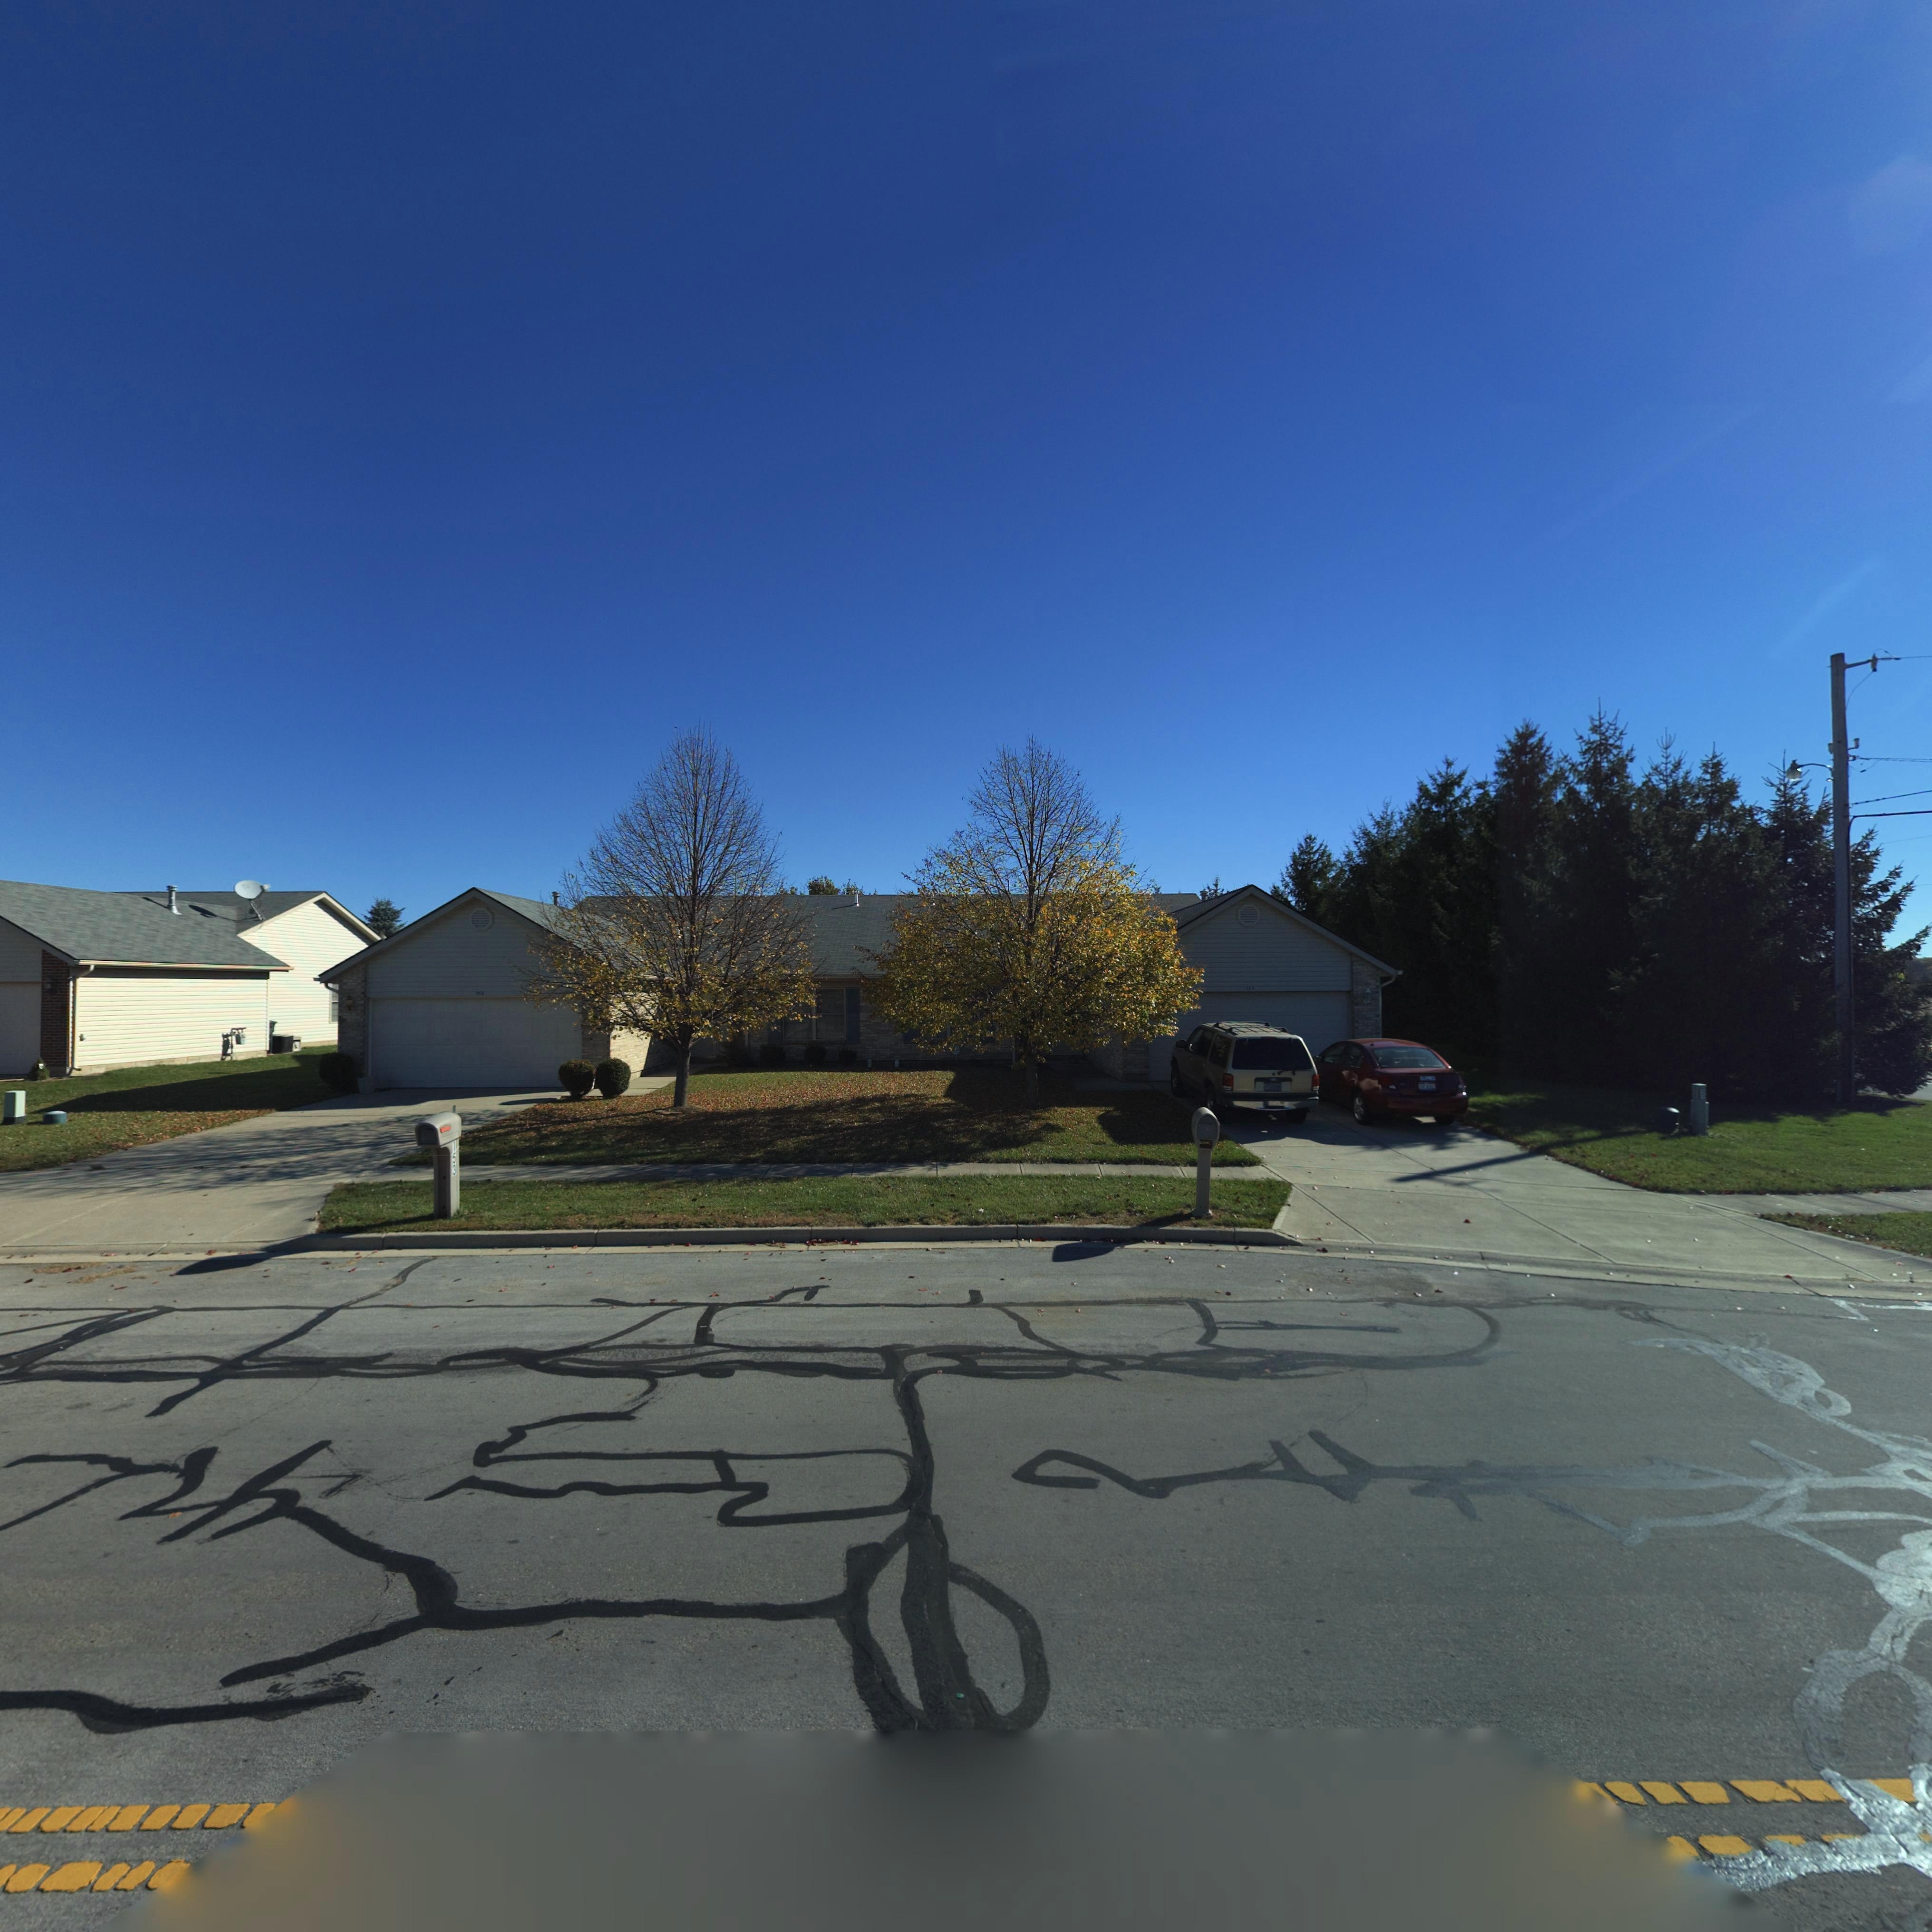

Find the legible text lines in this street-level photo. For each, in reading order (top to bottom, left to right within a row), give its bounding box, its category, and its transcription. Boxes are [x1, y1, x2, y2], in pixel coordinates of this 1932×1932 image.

[1246, 986, 1255, 991] StreetNumber: 155
[475, 991, 484, 996] StreetNumber: 153
[452, 1140, 457, 1176] StreetNumber: 153